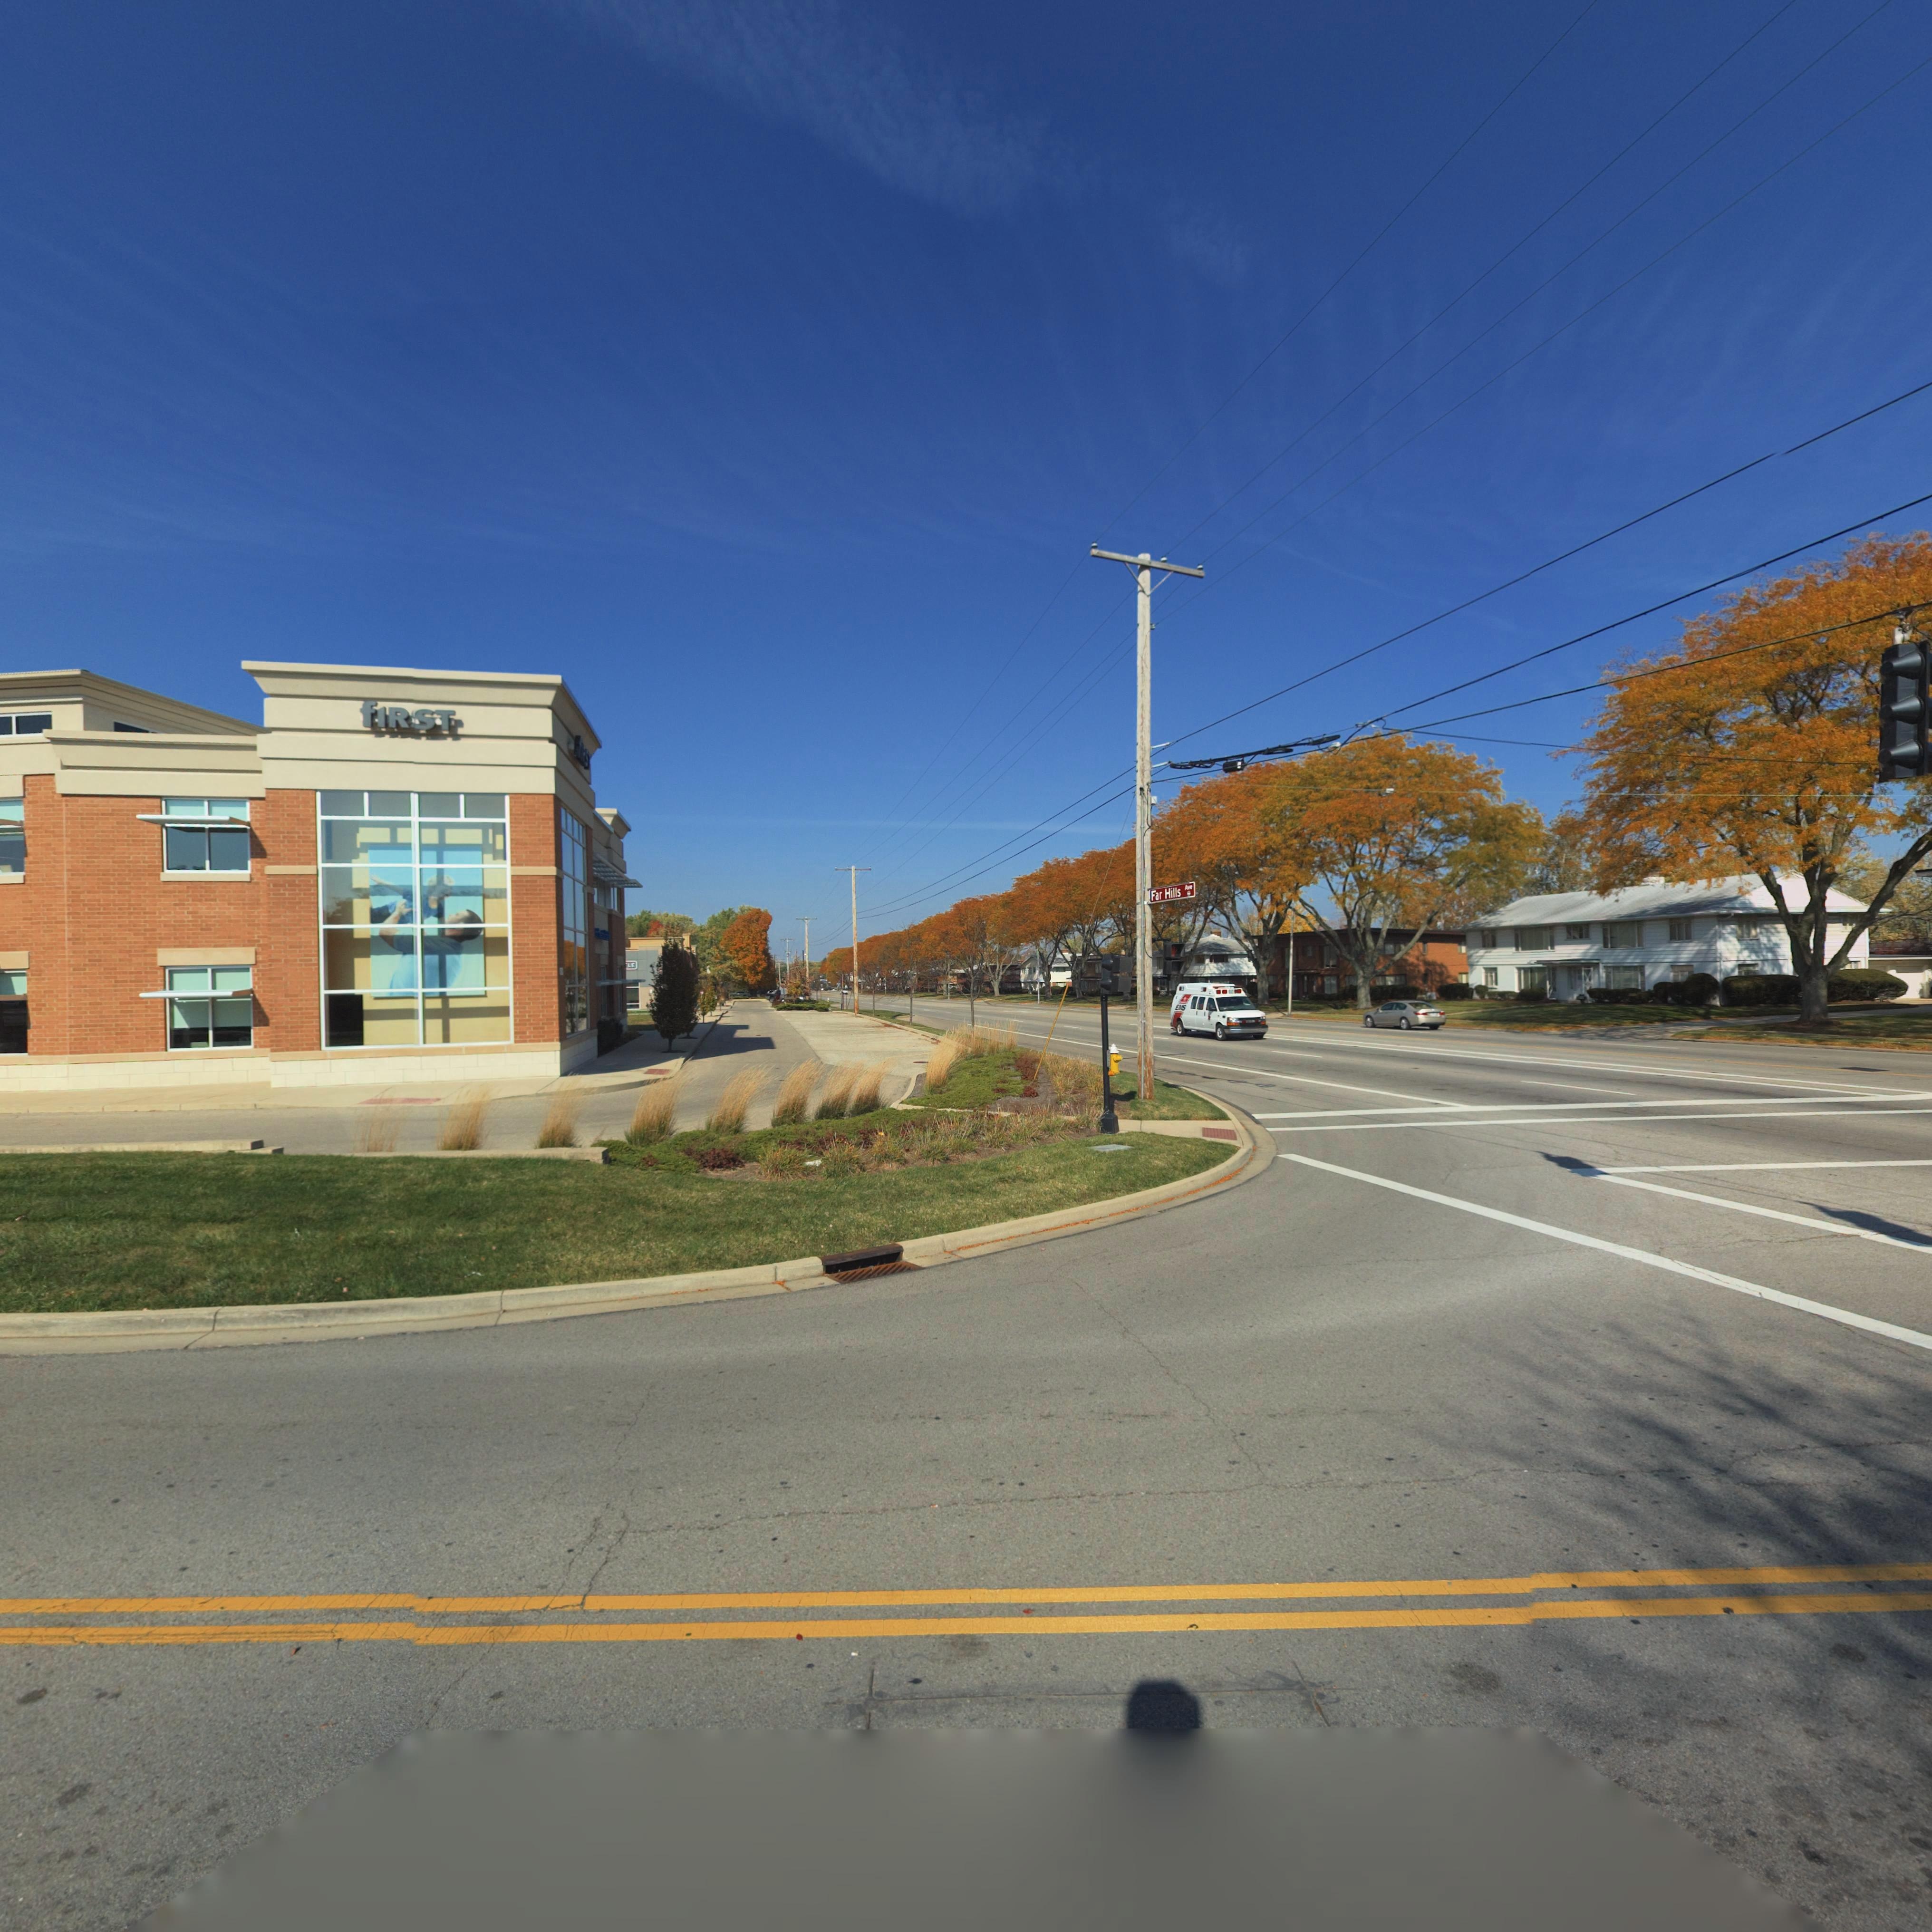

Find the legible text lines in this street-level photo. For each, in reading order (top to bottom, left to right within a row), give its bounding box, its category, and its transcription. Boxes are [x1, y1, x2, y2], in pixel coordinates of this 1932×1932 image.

[358, 699, 456, 732] BusinessName: fIR*T
[1150, 885, 1182, 902] StreetName: Far Hills
[627, 962, 636, 969] BusinessName: LE
[1174, 1003, 1188, 1012] None: EMS